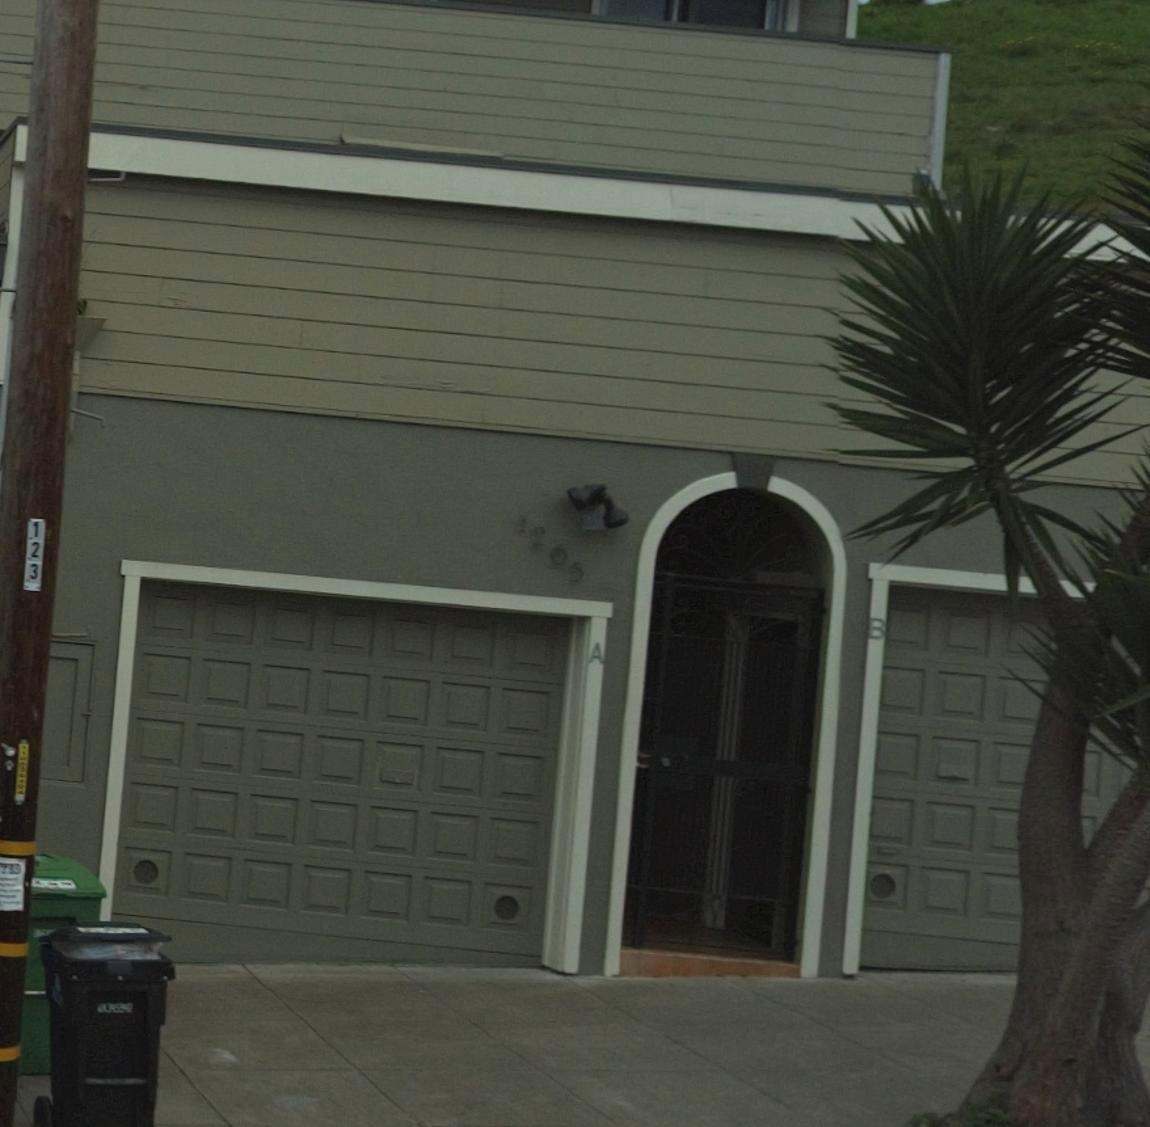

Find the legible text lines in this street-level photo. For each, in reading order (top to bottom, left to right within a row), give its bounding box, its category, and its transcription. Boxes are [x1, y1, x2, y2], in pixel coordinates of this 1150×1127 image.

[26, 521, 44, 581] None: 123
[517, 510, 587, 590] StreetNumber: 1265
[589, 641, 605, 669] StreetNumber: A
[868, 615, 886, 641] StreetNumber: B